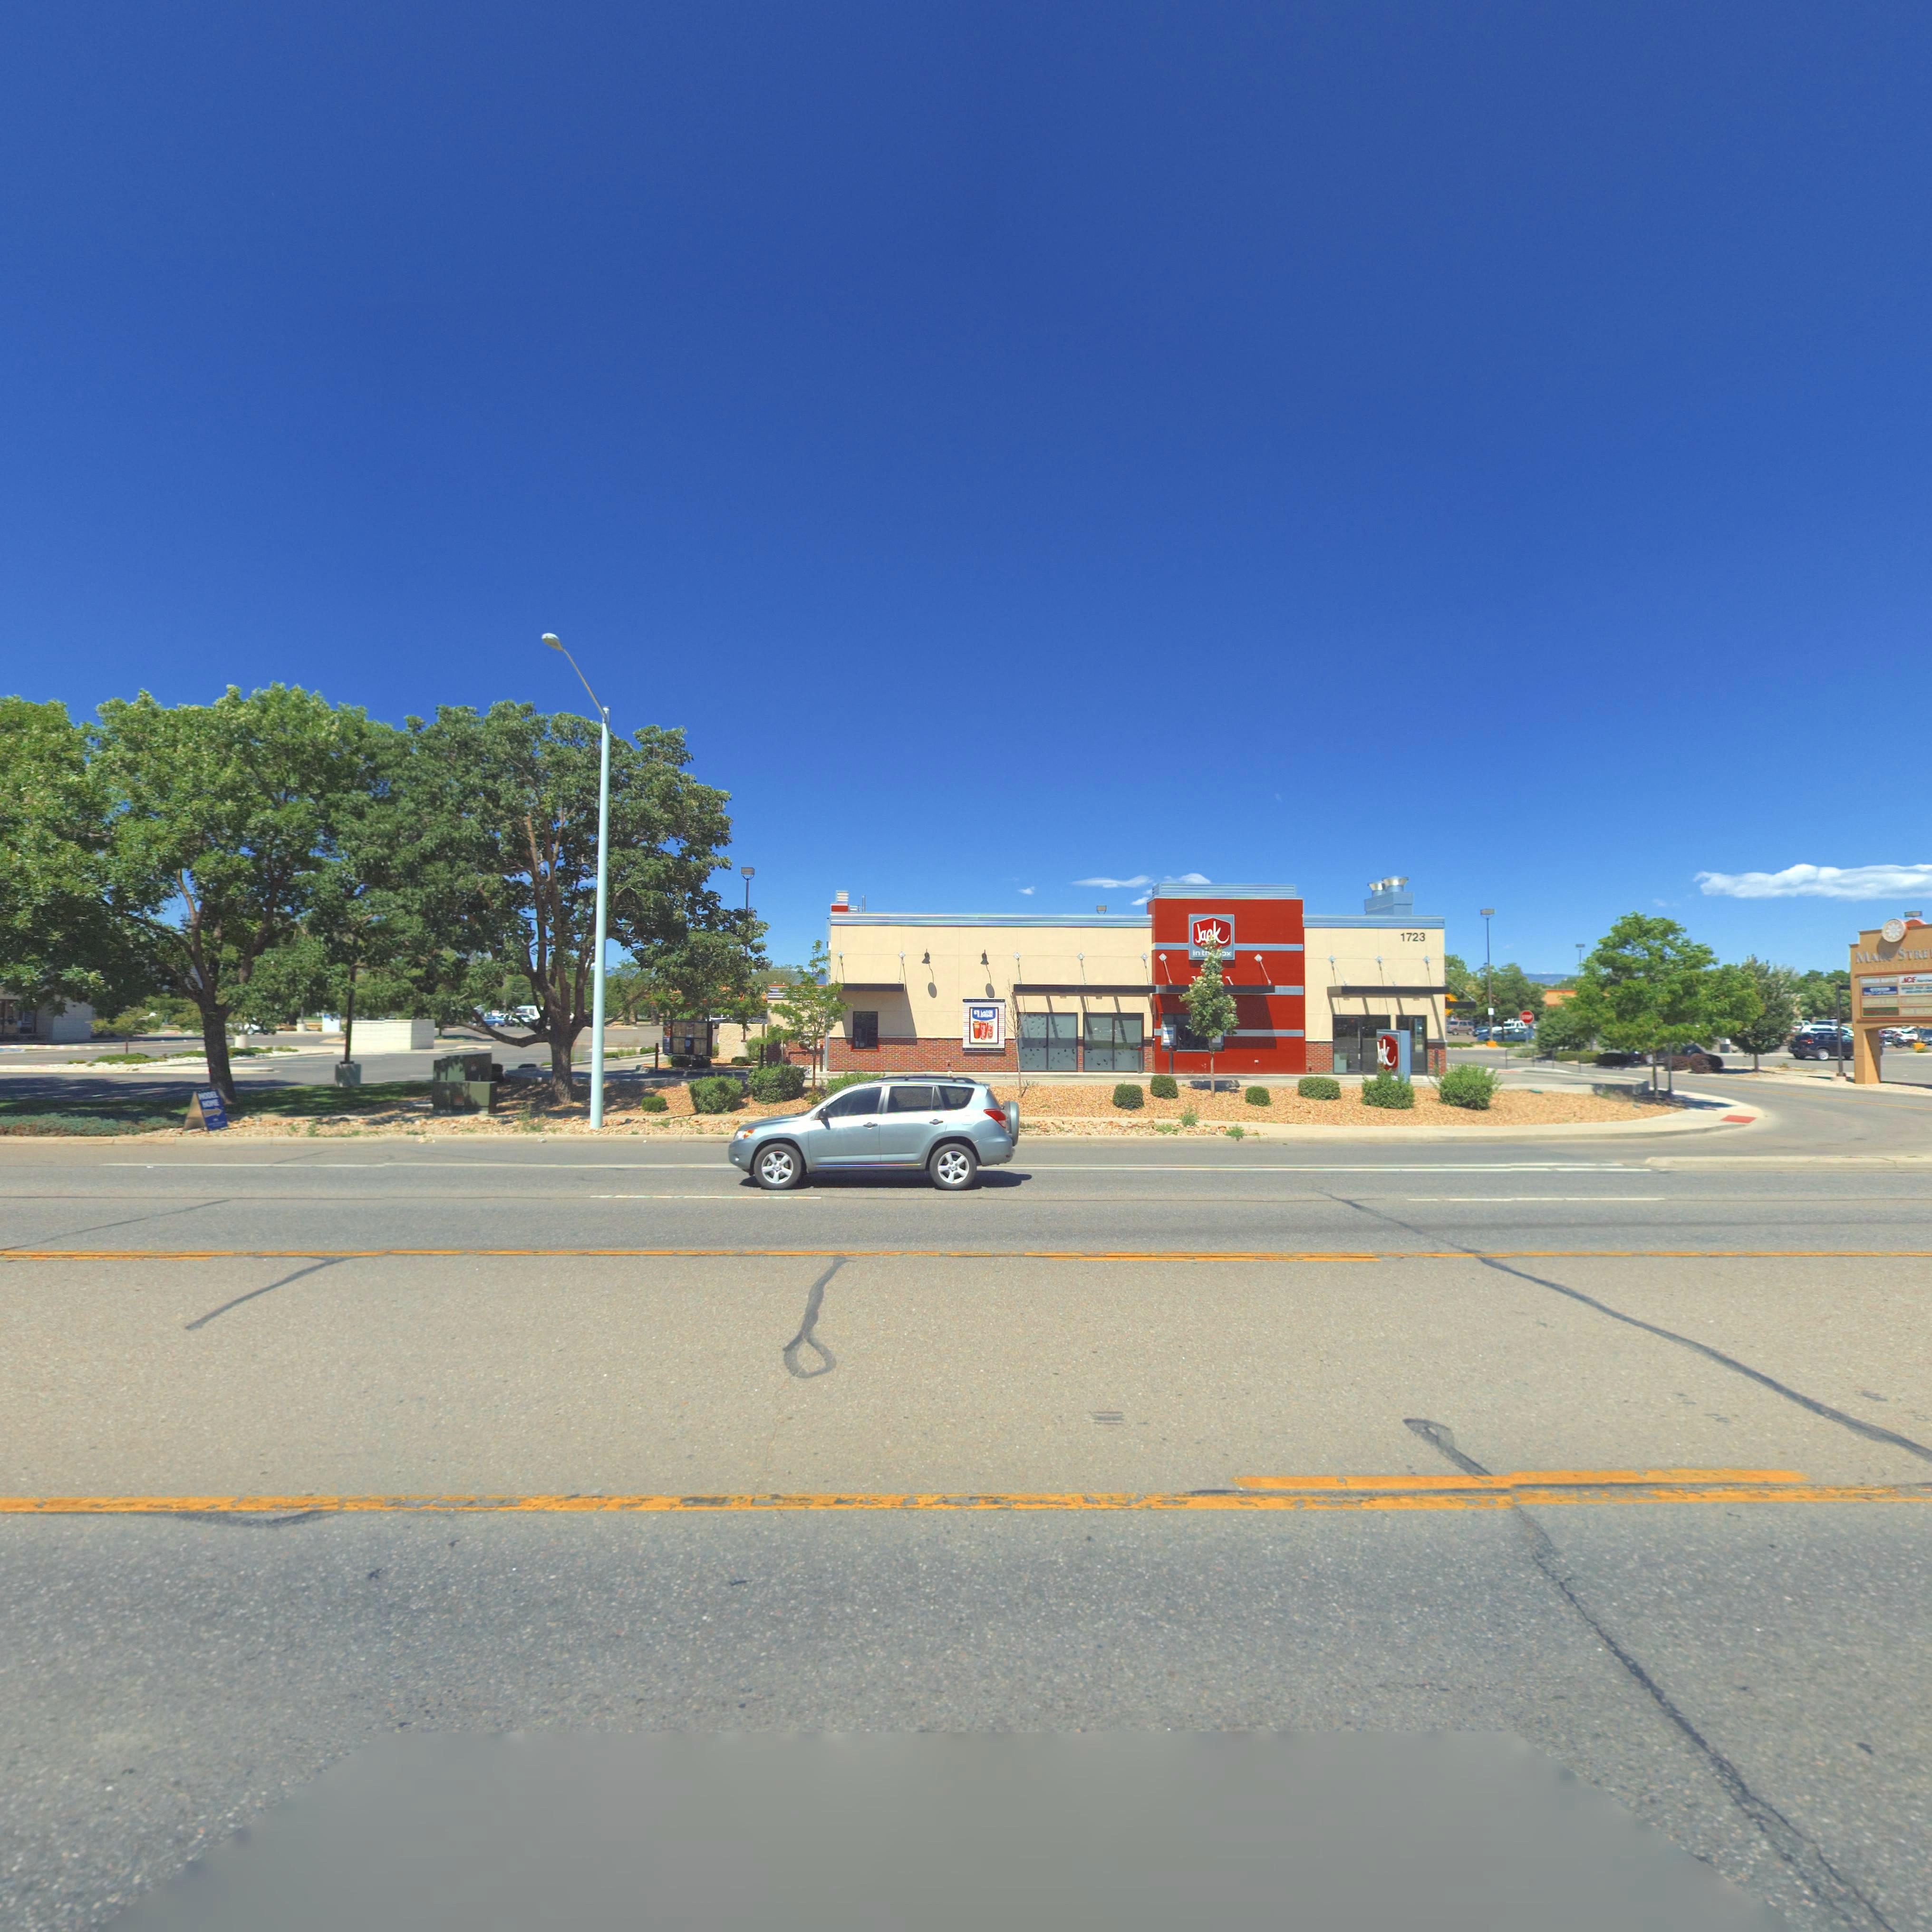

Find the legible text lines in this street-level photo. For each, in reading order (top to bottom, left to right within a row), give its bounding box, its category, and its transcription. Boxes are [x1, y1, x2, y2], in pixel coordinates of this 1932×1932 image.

[1194, 920, 1229, 945] BusinessName: Jack
[1400, 932, 1425, 942] StreetNumber: 1723
[1192, 950, 1231, 956] BusinessName: in th* *ox
[1861, 977, 1898, 984] BusinessName: C****L *****
[1901, 976, 1917, 983] BusinessName: ACE
[1375, 1038, 1396, 1067] BusinessName: J**k